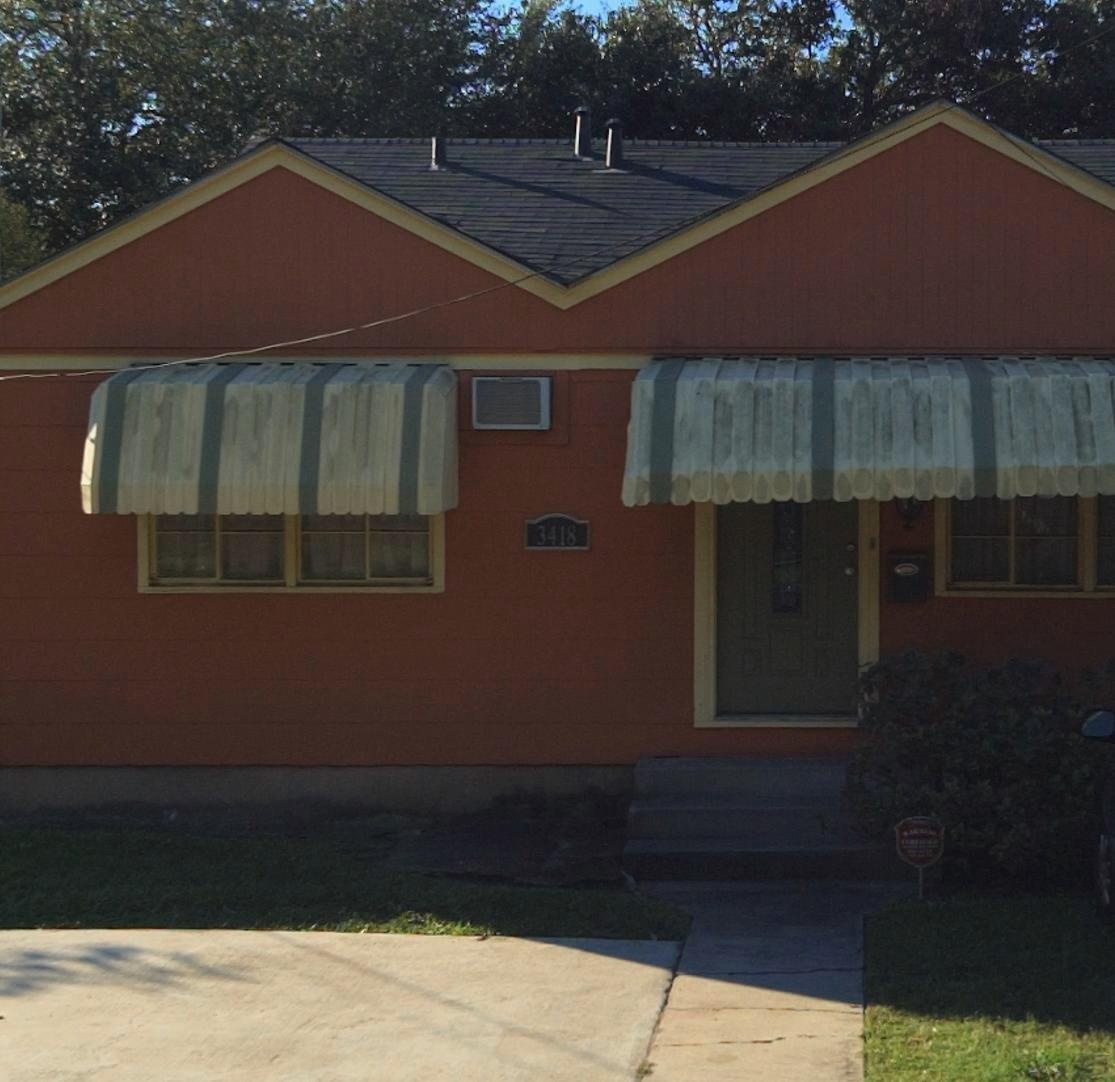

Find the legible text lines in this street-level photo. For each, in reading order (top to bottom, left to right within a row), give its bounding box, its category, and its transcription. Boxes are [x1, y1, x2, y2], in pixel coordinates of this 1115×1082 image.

[536, 524, 576, 547] StreetNumber: 3418